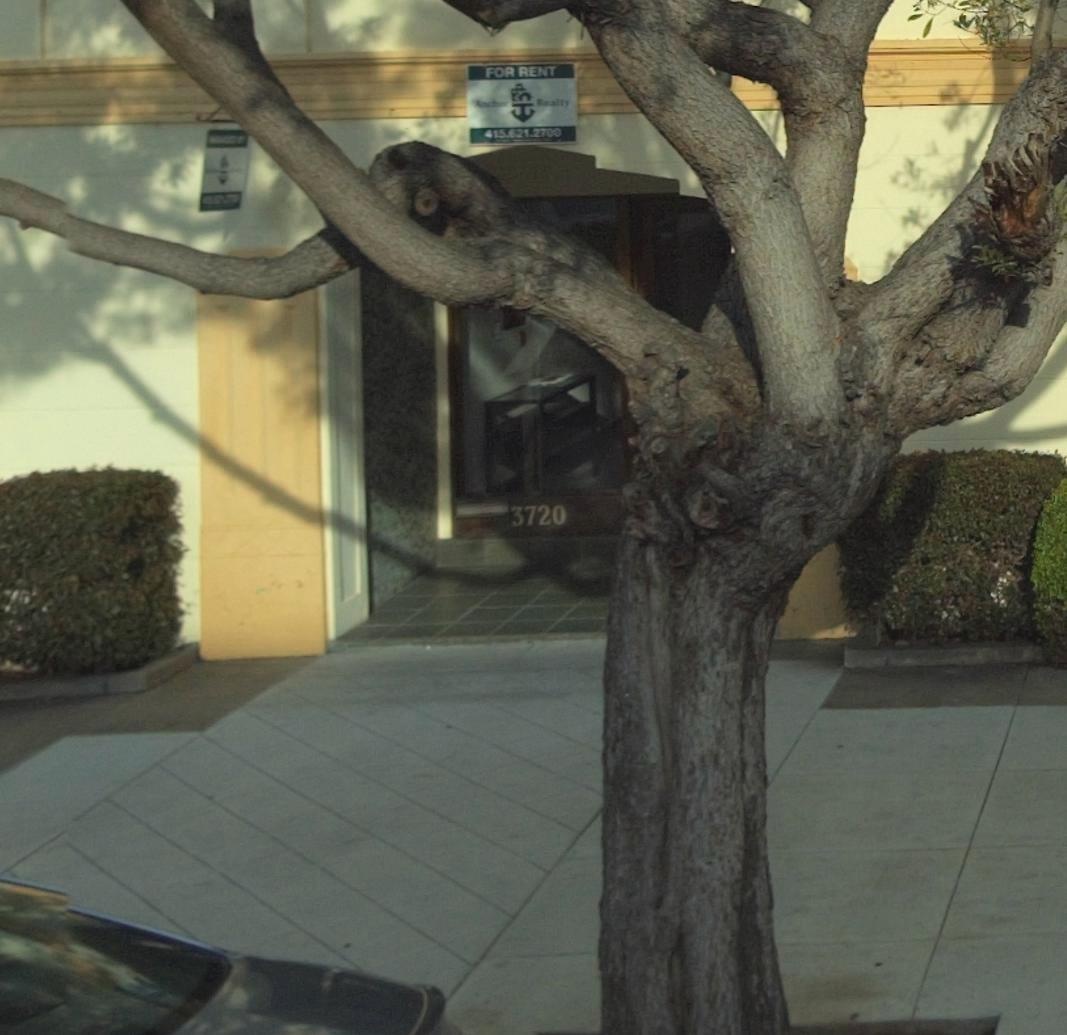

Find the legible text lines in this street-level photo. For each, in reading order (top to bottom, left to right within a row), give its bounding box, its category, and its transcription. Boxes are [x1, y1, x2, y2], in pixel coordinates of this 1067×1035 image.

[484, 65, 559, 80] None: FOR RENT
[482, 125, 564, 141] None: 415.621.2700
[509, 502, 568, 529] StreetNumber: 3720